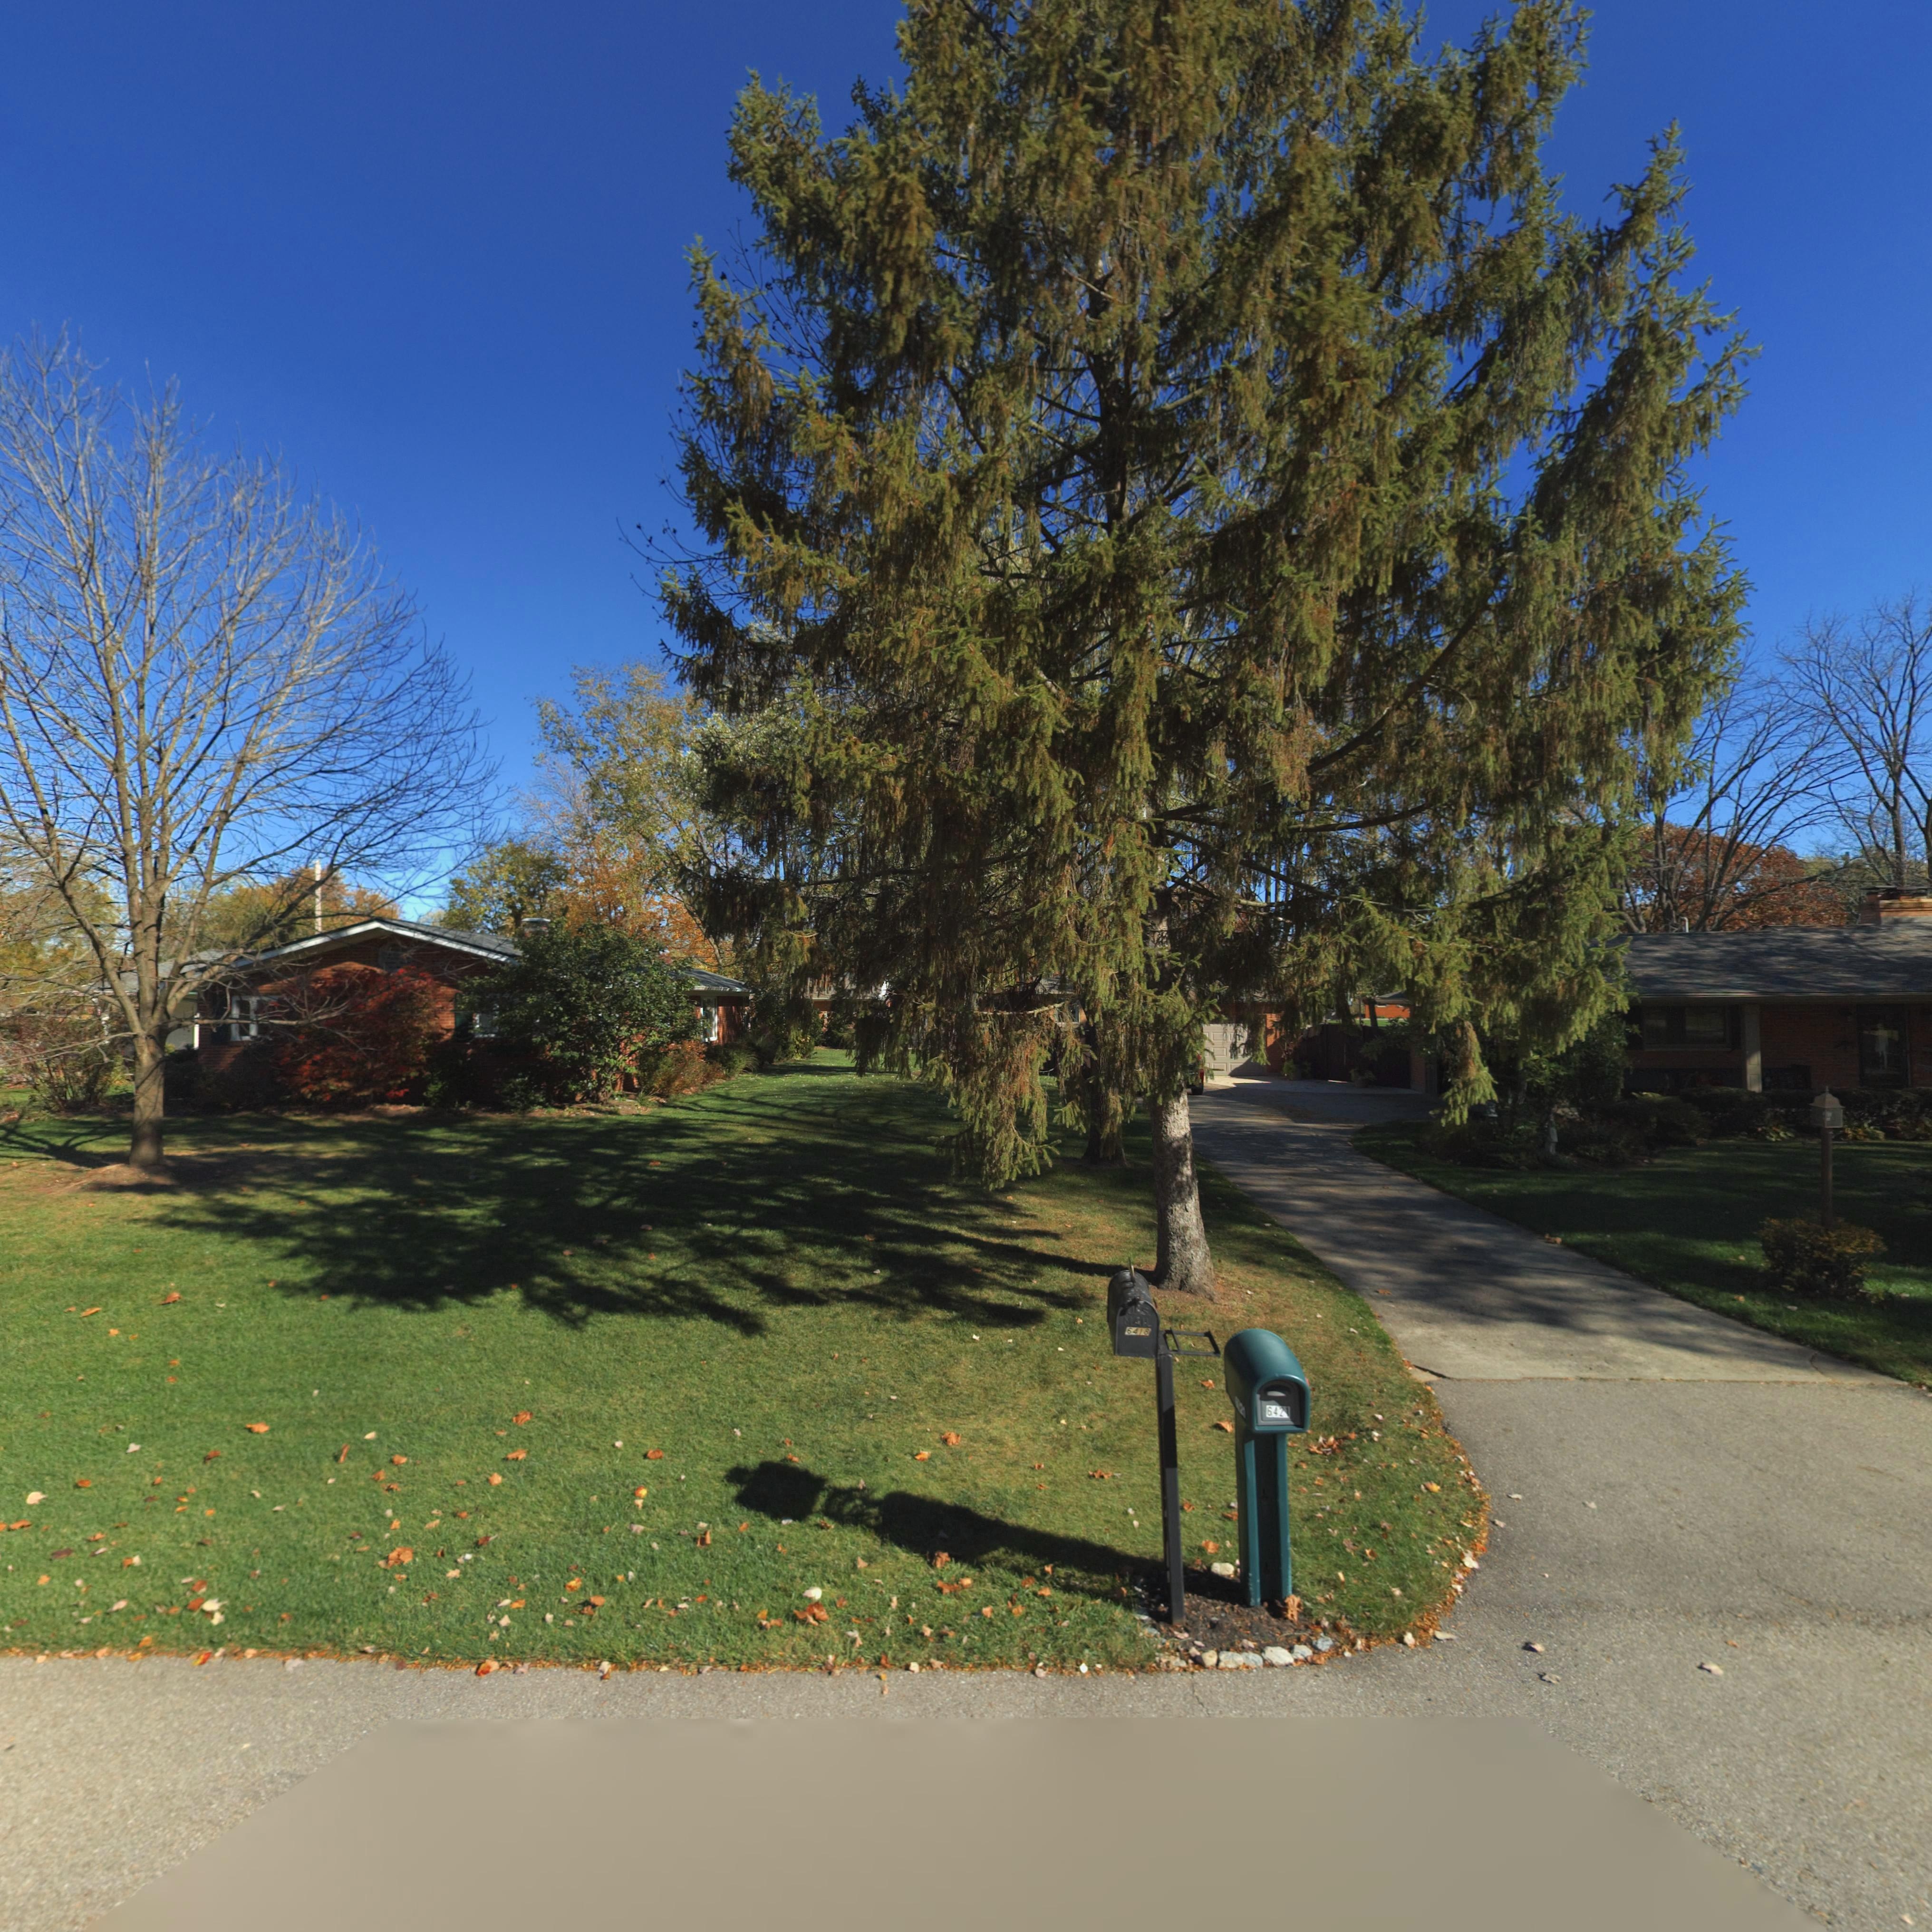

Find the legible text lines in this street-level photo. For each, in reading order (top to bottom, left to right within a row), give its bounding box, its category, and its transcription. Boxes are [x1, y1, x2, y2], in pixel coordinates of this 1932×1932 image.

[1126, 1326, 1151, 1336] StreetNumber: 6418
[1234, 1394, 1246, 1420] StreetNumber: **2*
[1265, 1405, 1291, 1418] StreetNumber: 642*